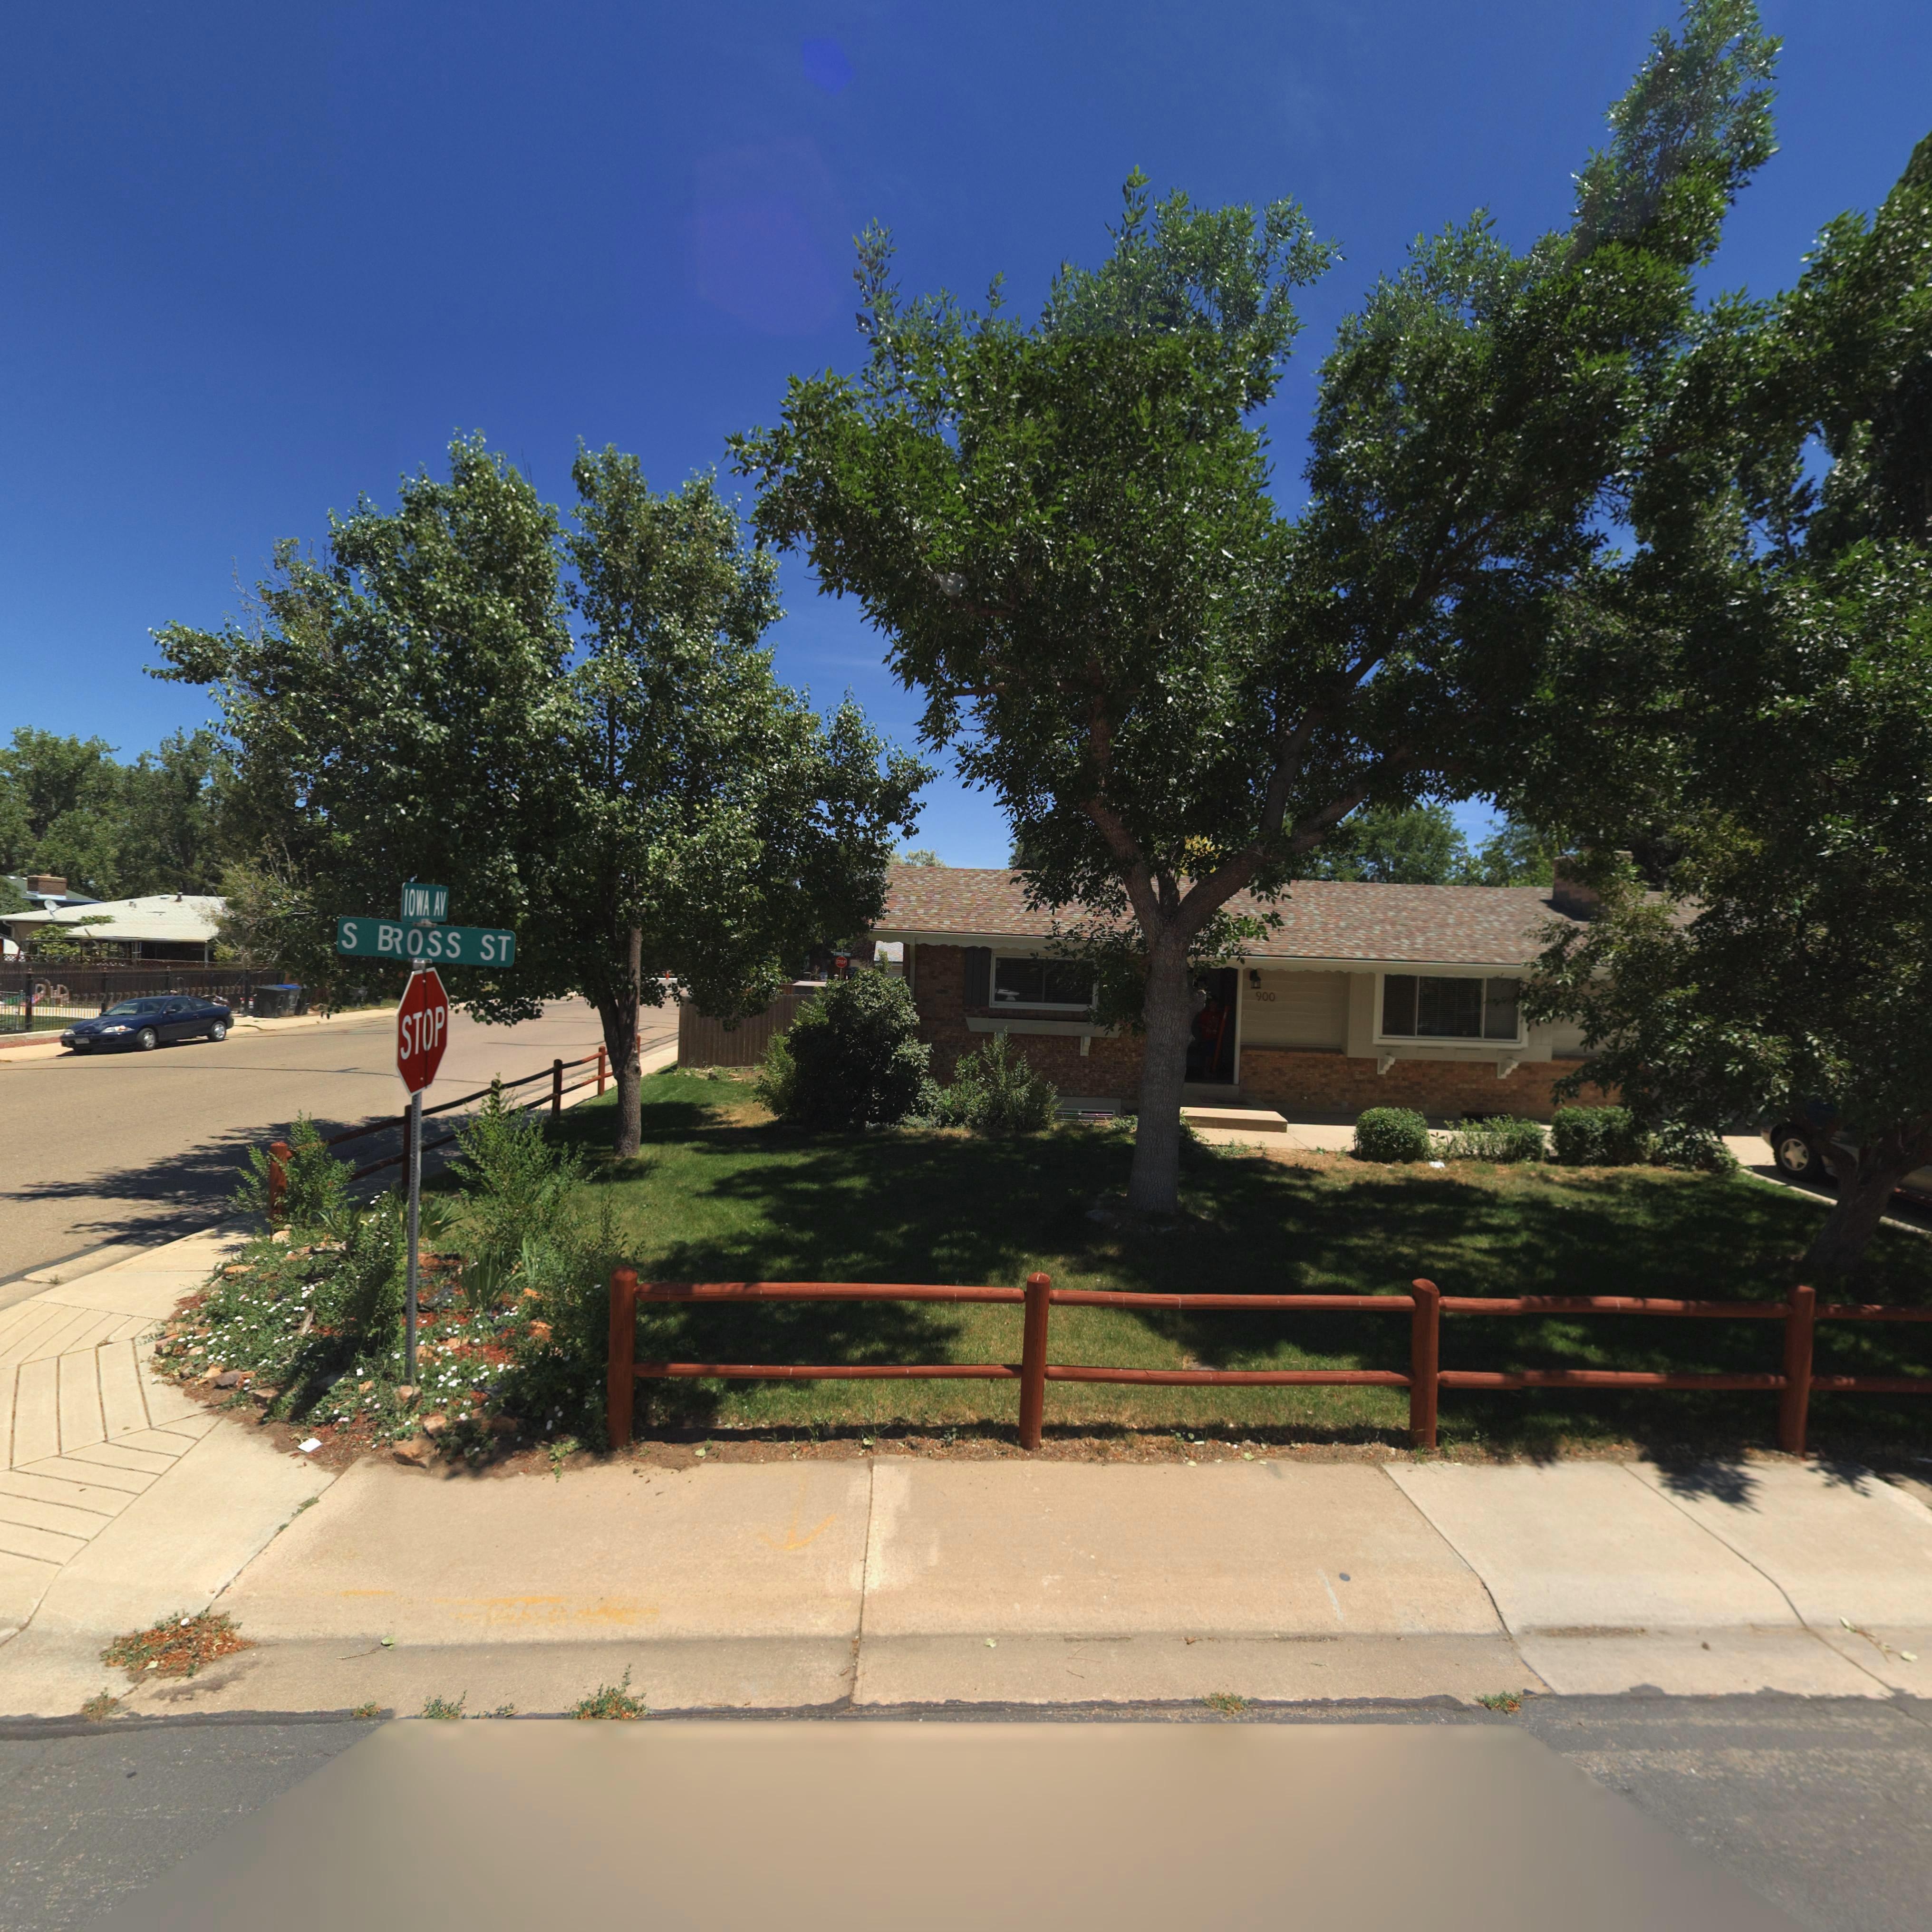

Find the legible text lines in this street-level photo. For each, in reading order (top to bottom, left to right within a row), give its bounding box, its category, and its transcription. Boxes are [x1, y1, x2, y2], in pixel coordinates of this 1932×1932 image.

[404, 888, 448, 917] StreetName: IOWA ST
[339, 921, 512, 963] StreetName: S BROSS ST
[1255, 991, 1276, 1002] StreetNumber: 900